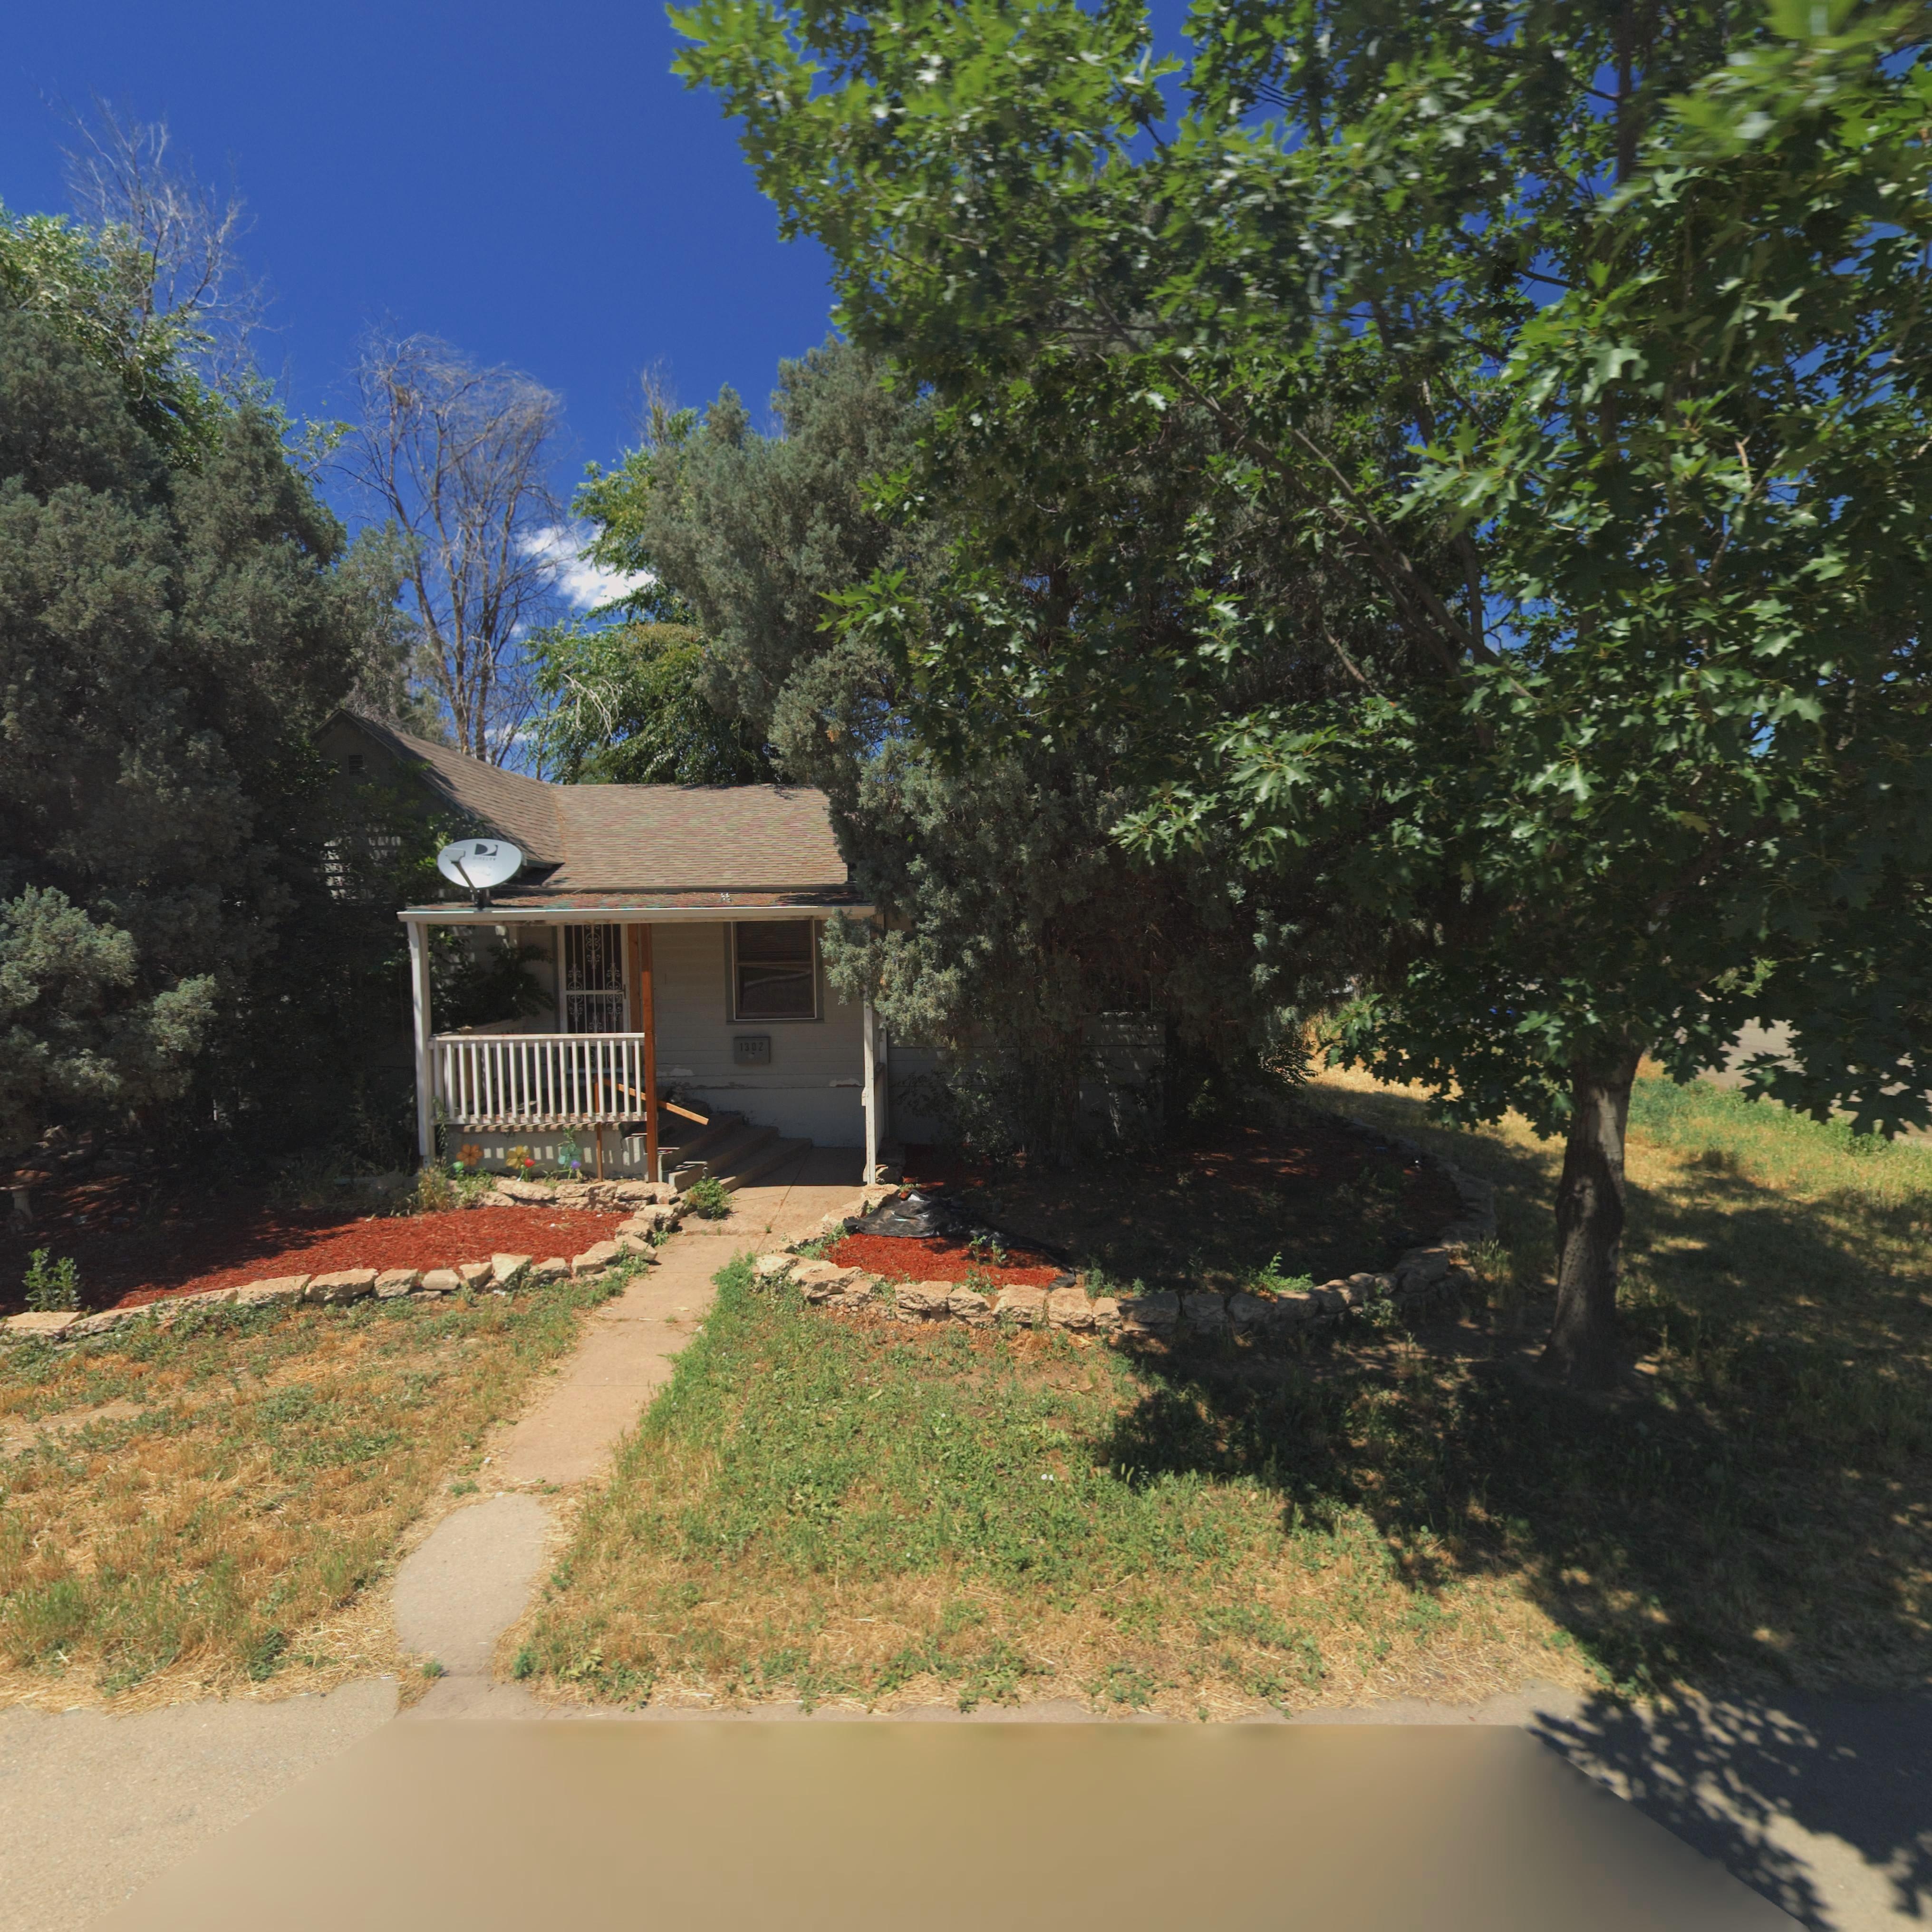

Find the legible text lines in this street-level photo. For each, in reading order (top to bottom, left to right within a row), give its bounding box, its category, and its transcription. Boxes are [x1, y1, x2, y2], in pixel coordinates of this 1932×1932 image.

[740, 1041, 763, 1052] StreetNumber: 1302